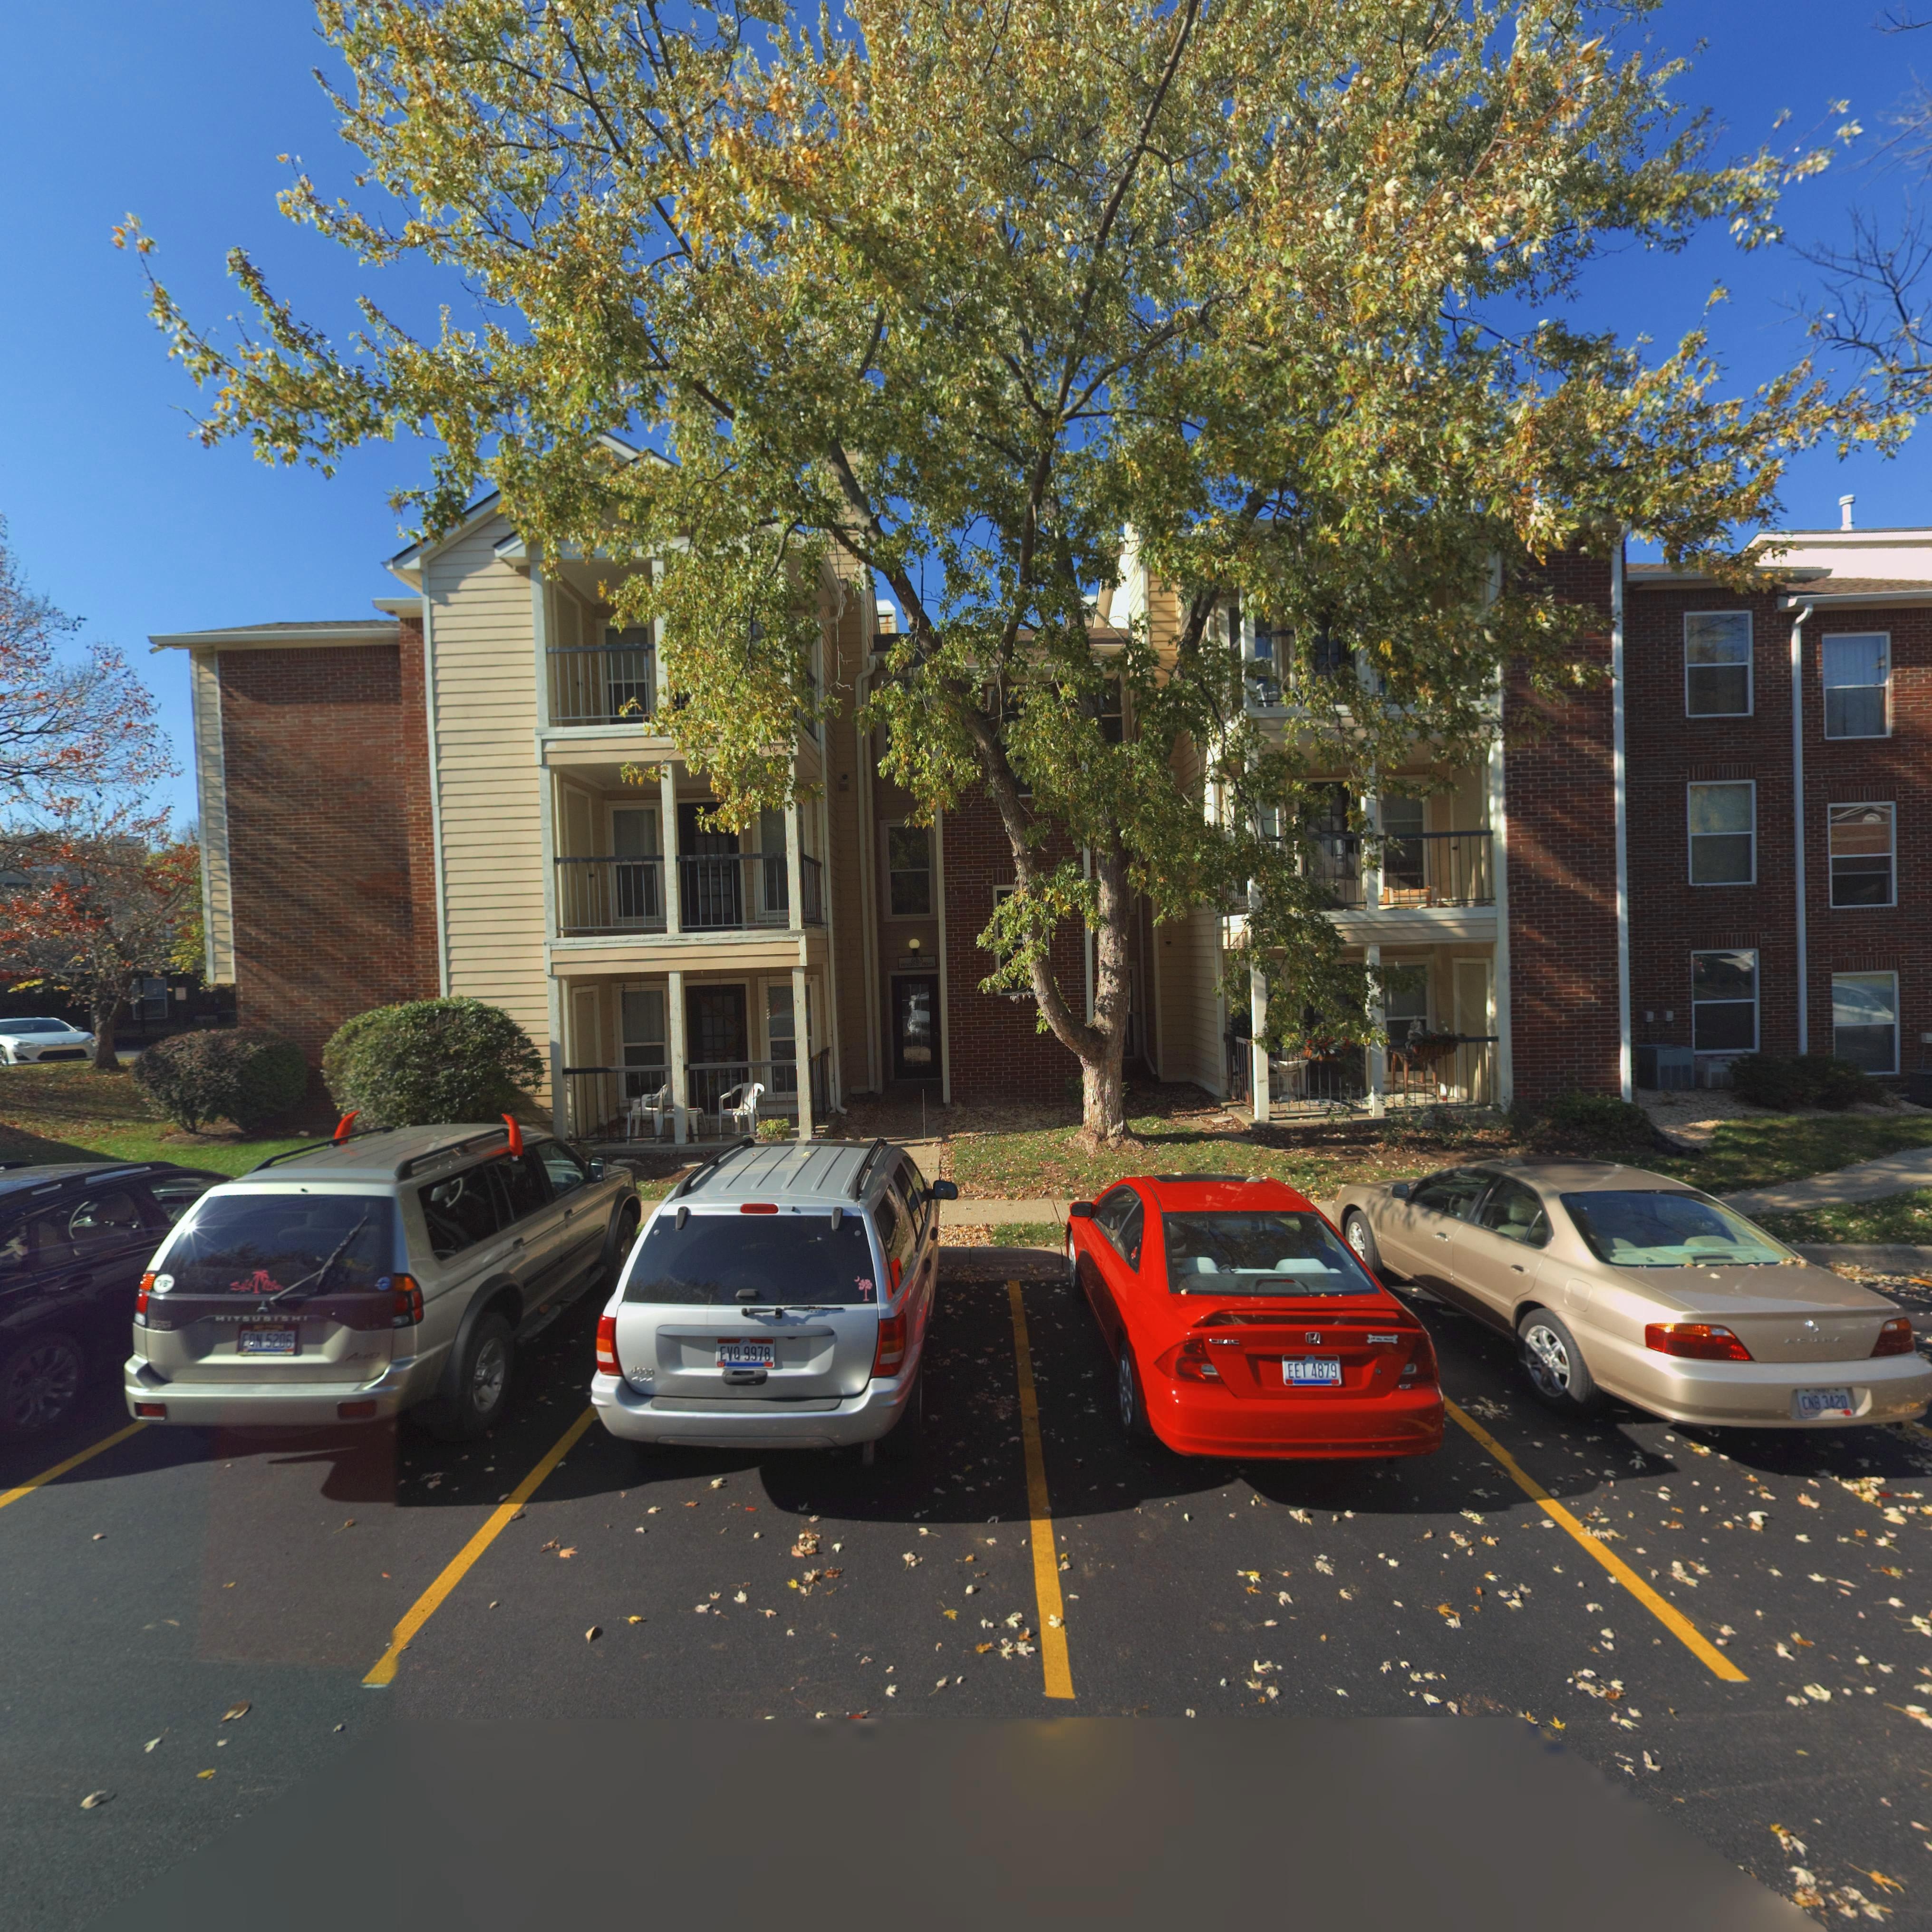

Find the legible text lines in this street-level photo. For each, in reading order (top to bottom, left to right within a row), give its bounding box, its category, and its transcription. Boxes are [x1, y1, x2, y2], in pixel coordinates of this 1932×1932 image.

[910, 956, 924, 963] StreetNumber: 685
[214, 1314, 309, 1323] None: MITSU*ISHI
[240, 1332, 294, 1350] None: E*N 5206
[719, 1344, 771, 1362] None: EVQ 9978
[1287, 1362, 1338, 1380] None: EET 4879
[1800, 1394, 1850, 1412] None: CNB 3420